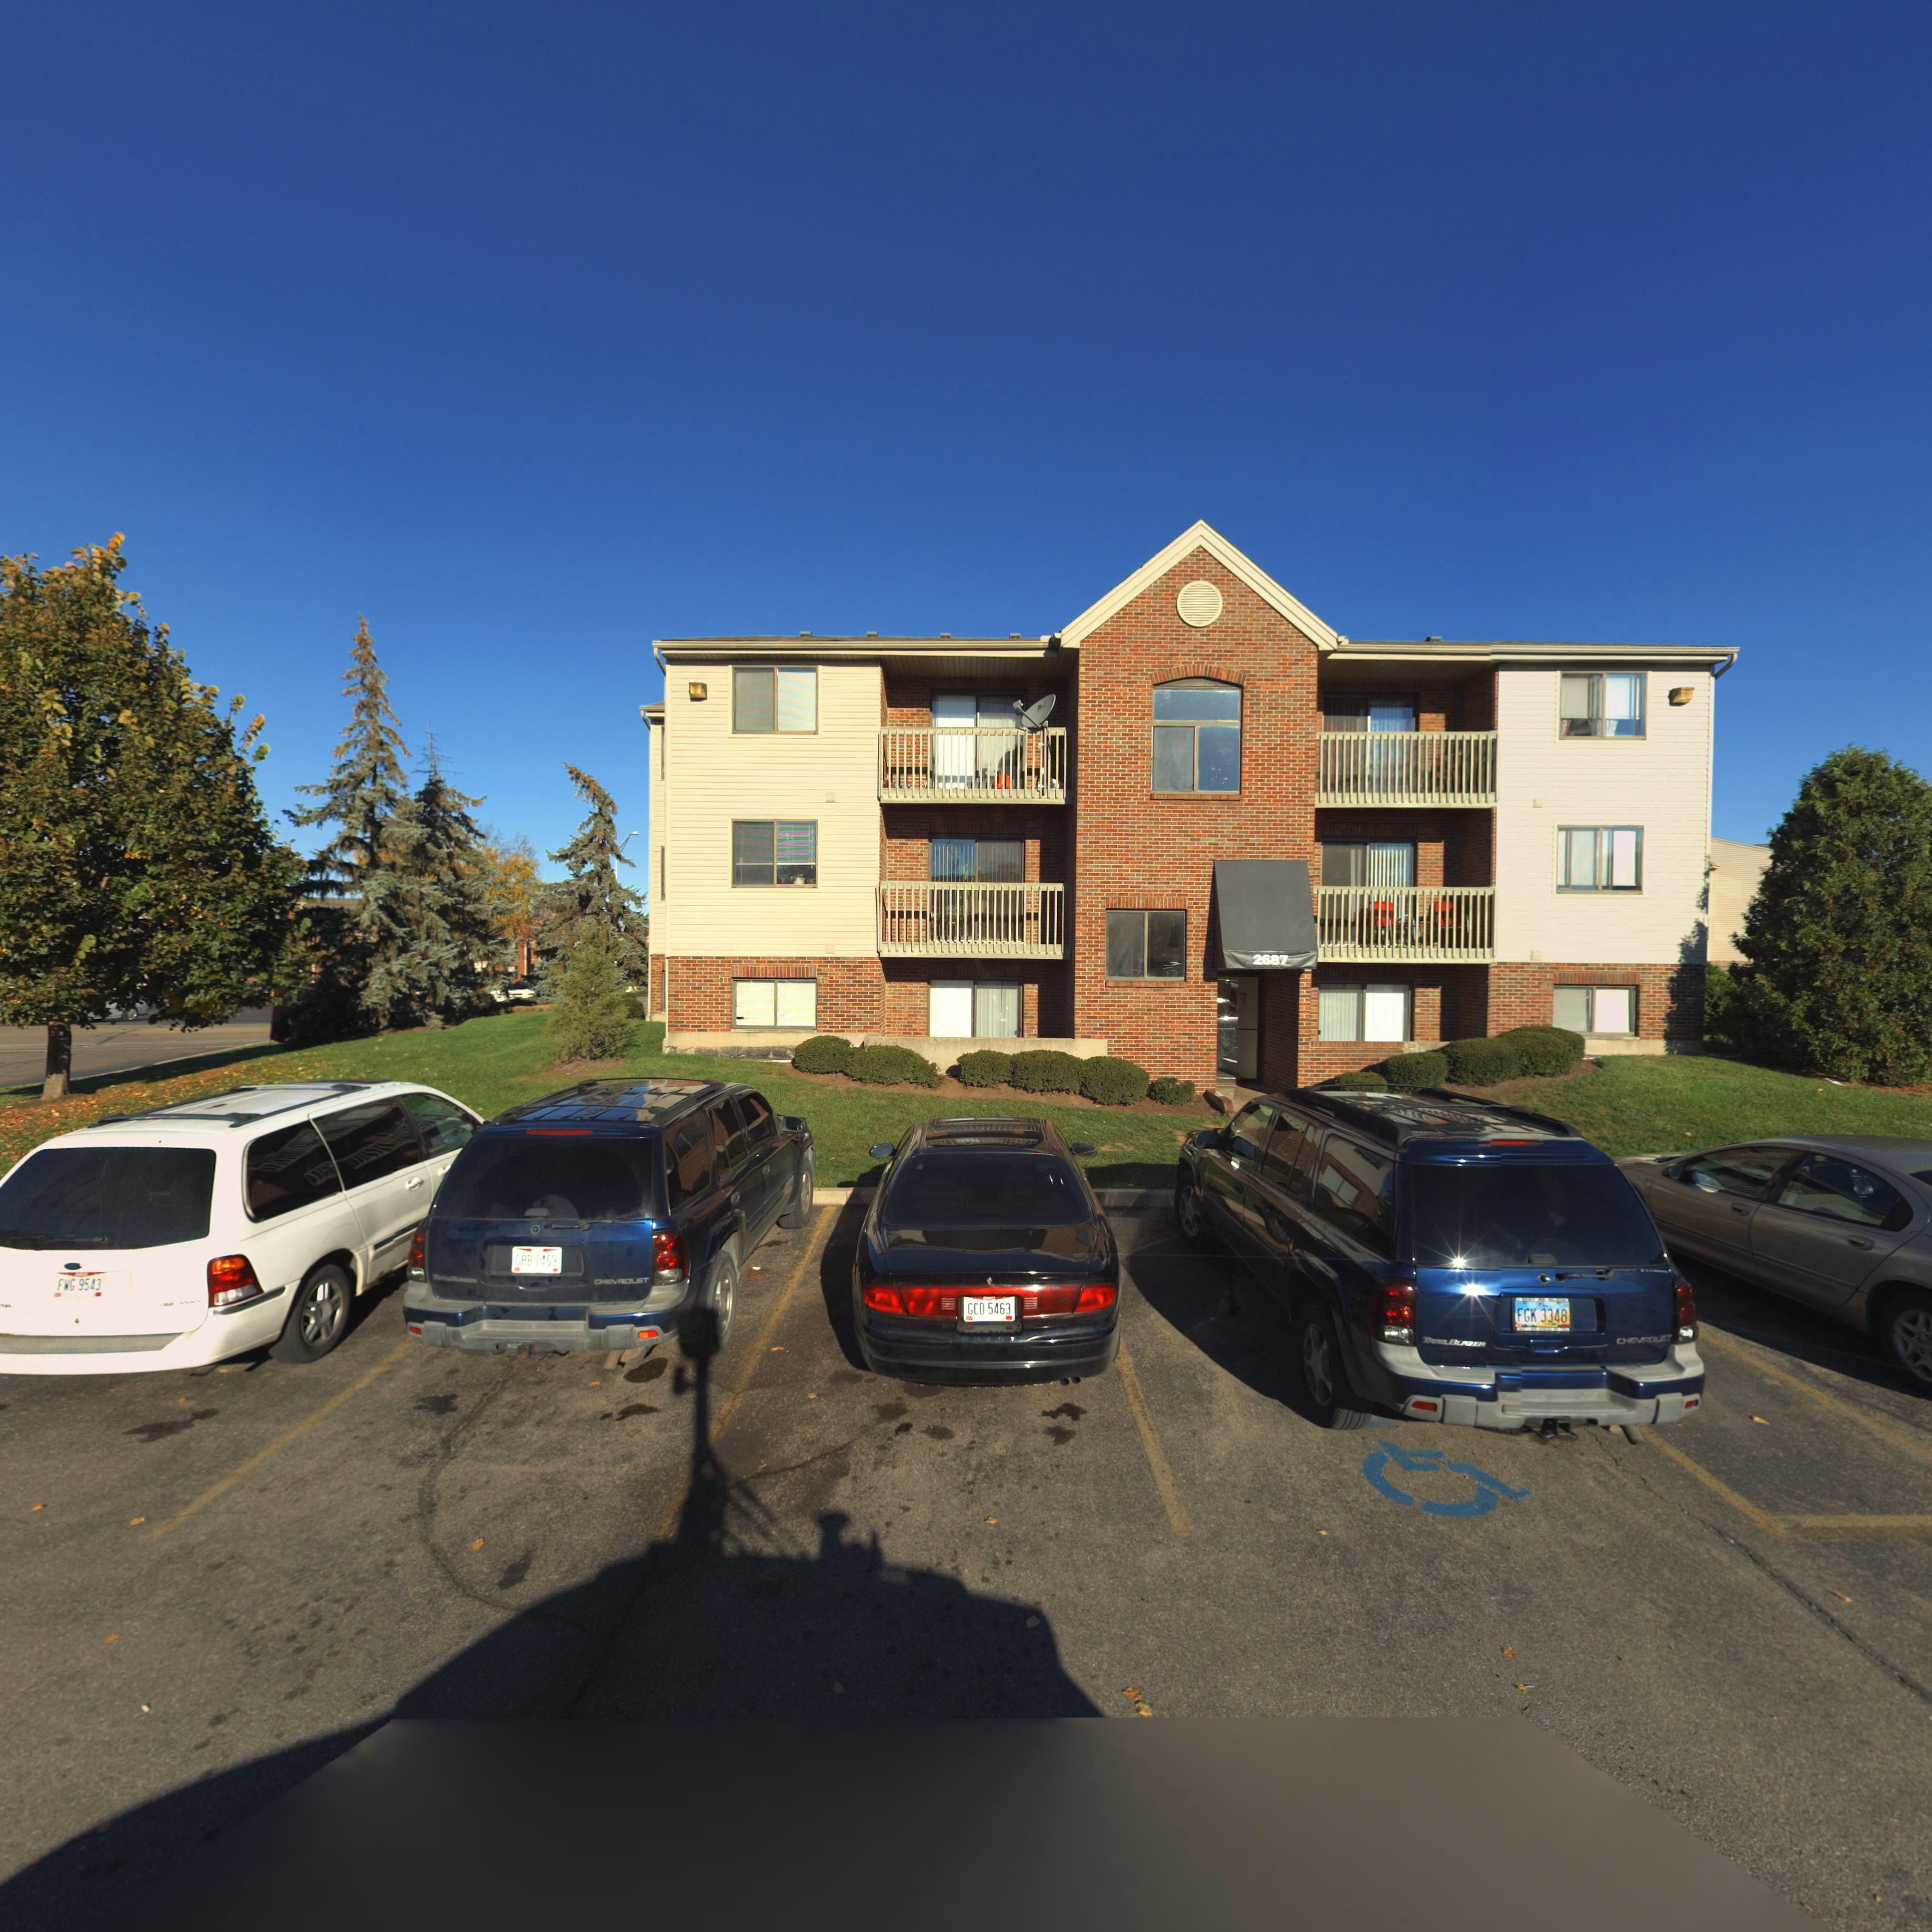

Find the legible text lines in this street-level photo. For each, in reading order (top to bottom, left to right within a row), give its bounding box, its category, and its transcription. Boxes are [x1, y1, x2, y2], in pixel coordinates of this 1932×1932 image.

[1252, 954, 1289, 965] StreetNumber: 2687